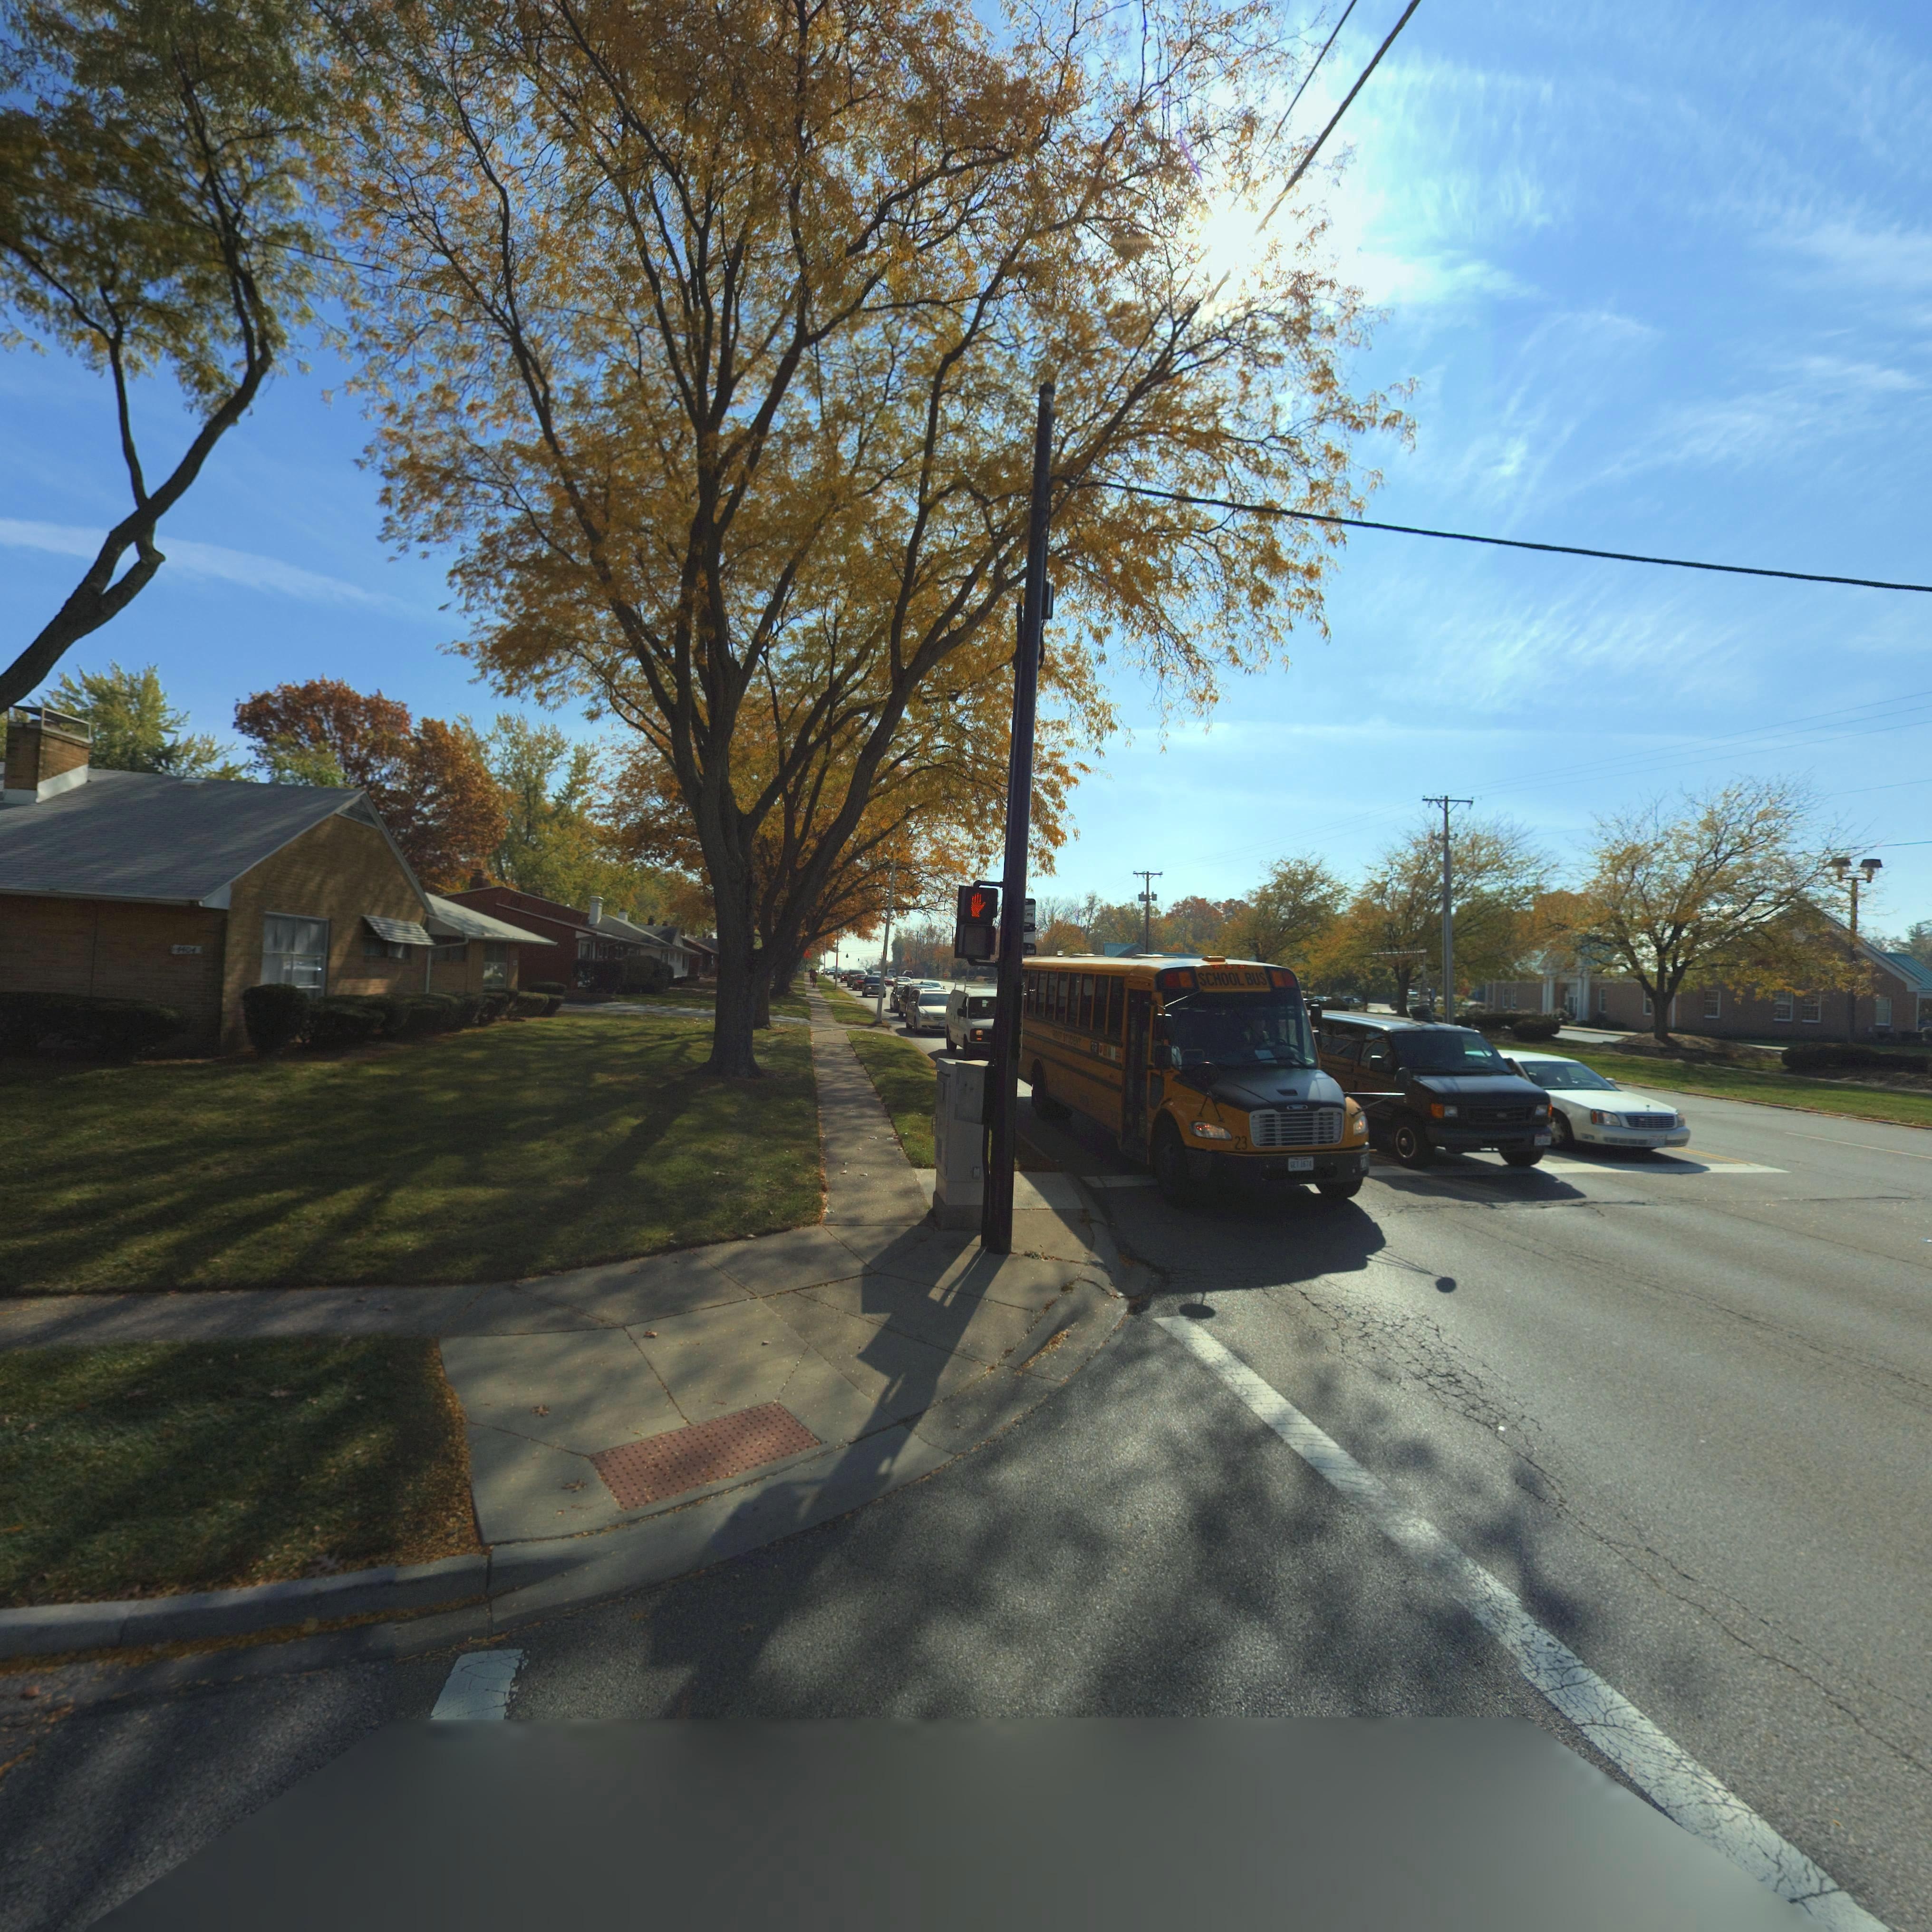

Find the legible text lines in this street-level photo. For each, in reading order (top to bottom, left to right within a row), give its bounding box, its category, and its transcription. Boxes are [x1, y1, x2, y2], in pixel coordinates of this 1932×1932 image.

[175, 945, 198, 954] StreetNumber: 4404
[1196, 971, 1269, 987] None: SCHOOL BUS